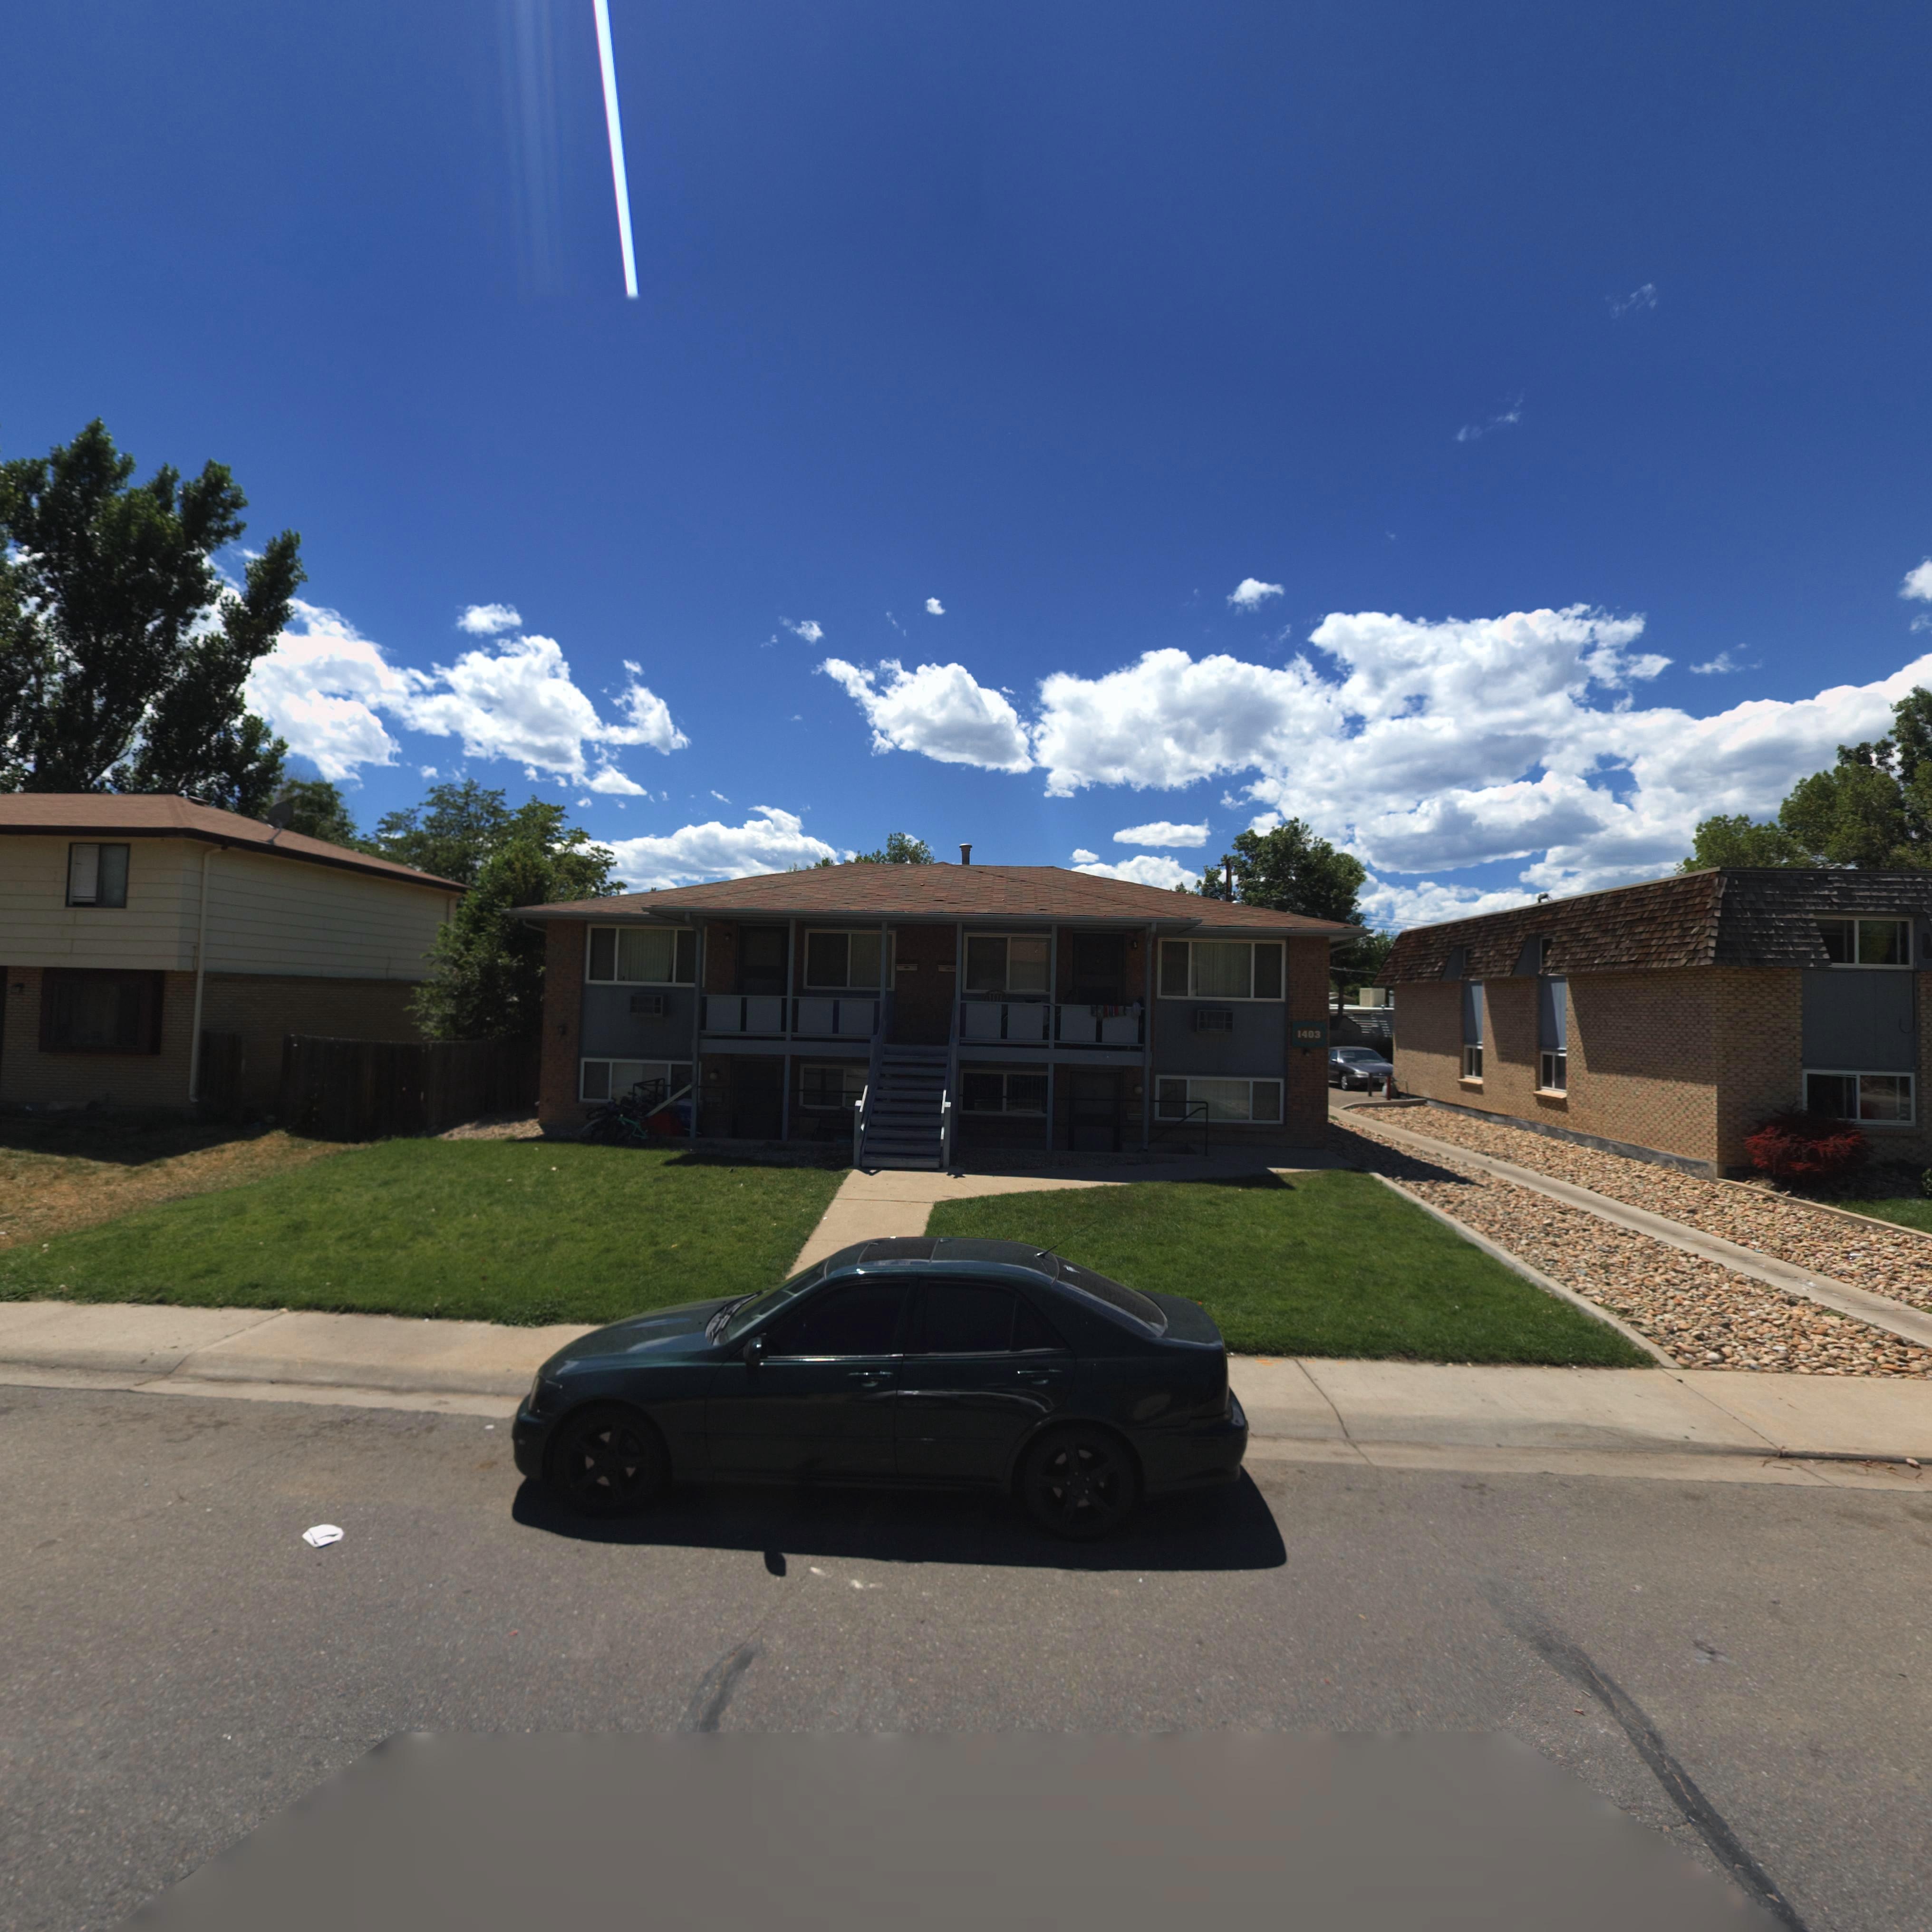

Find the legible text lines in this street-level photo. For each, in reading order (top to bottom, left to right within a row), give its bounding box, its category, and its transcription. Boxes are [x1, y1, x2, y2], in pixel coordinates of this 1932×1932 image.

[1297, 1029, 1321, 1038] StreetNumber: 1403